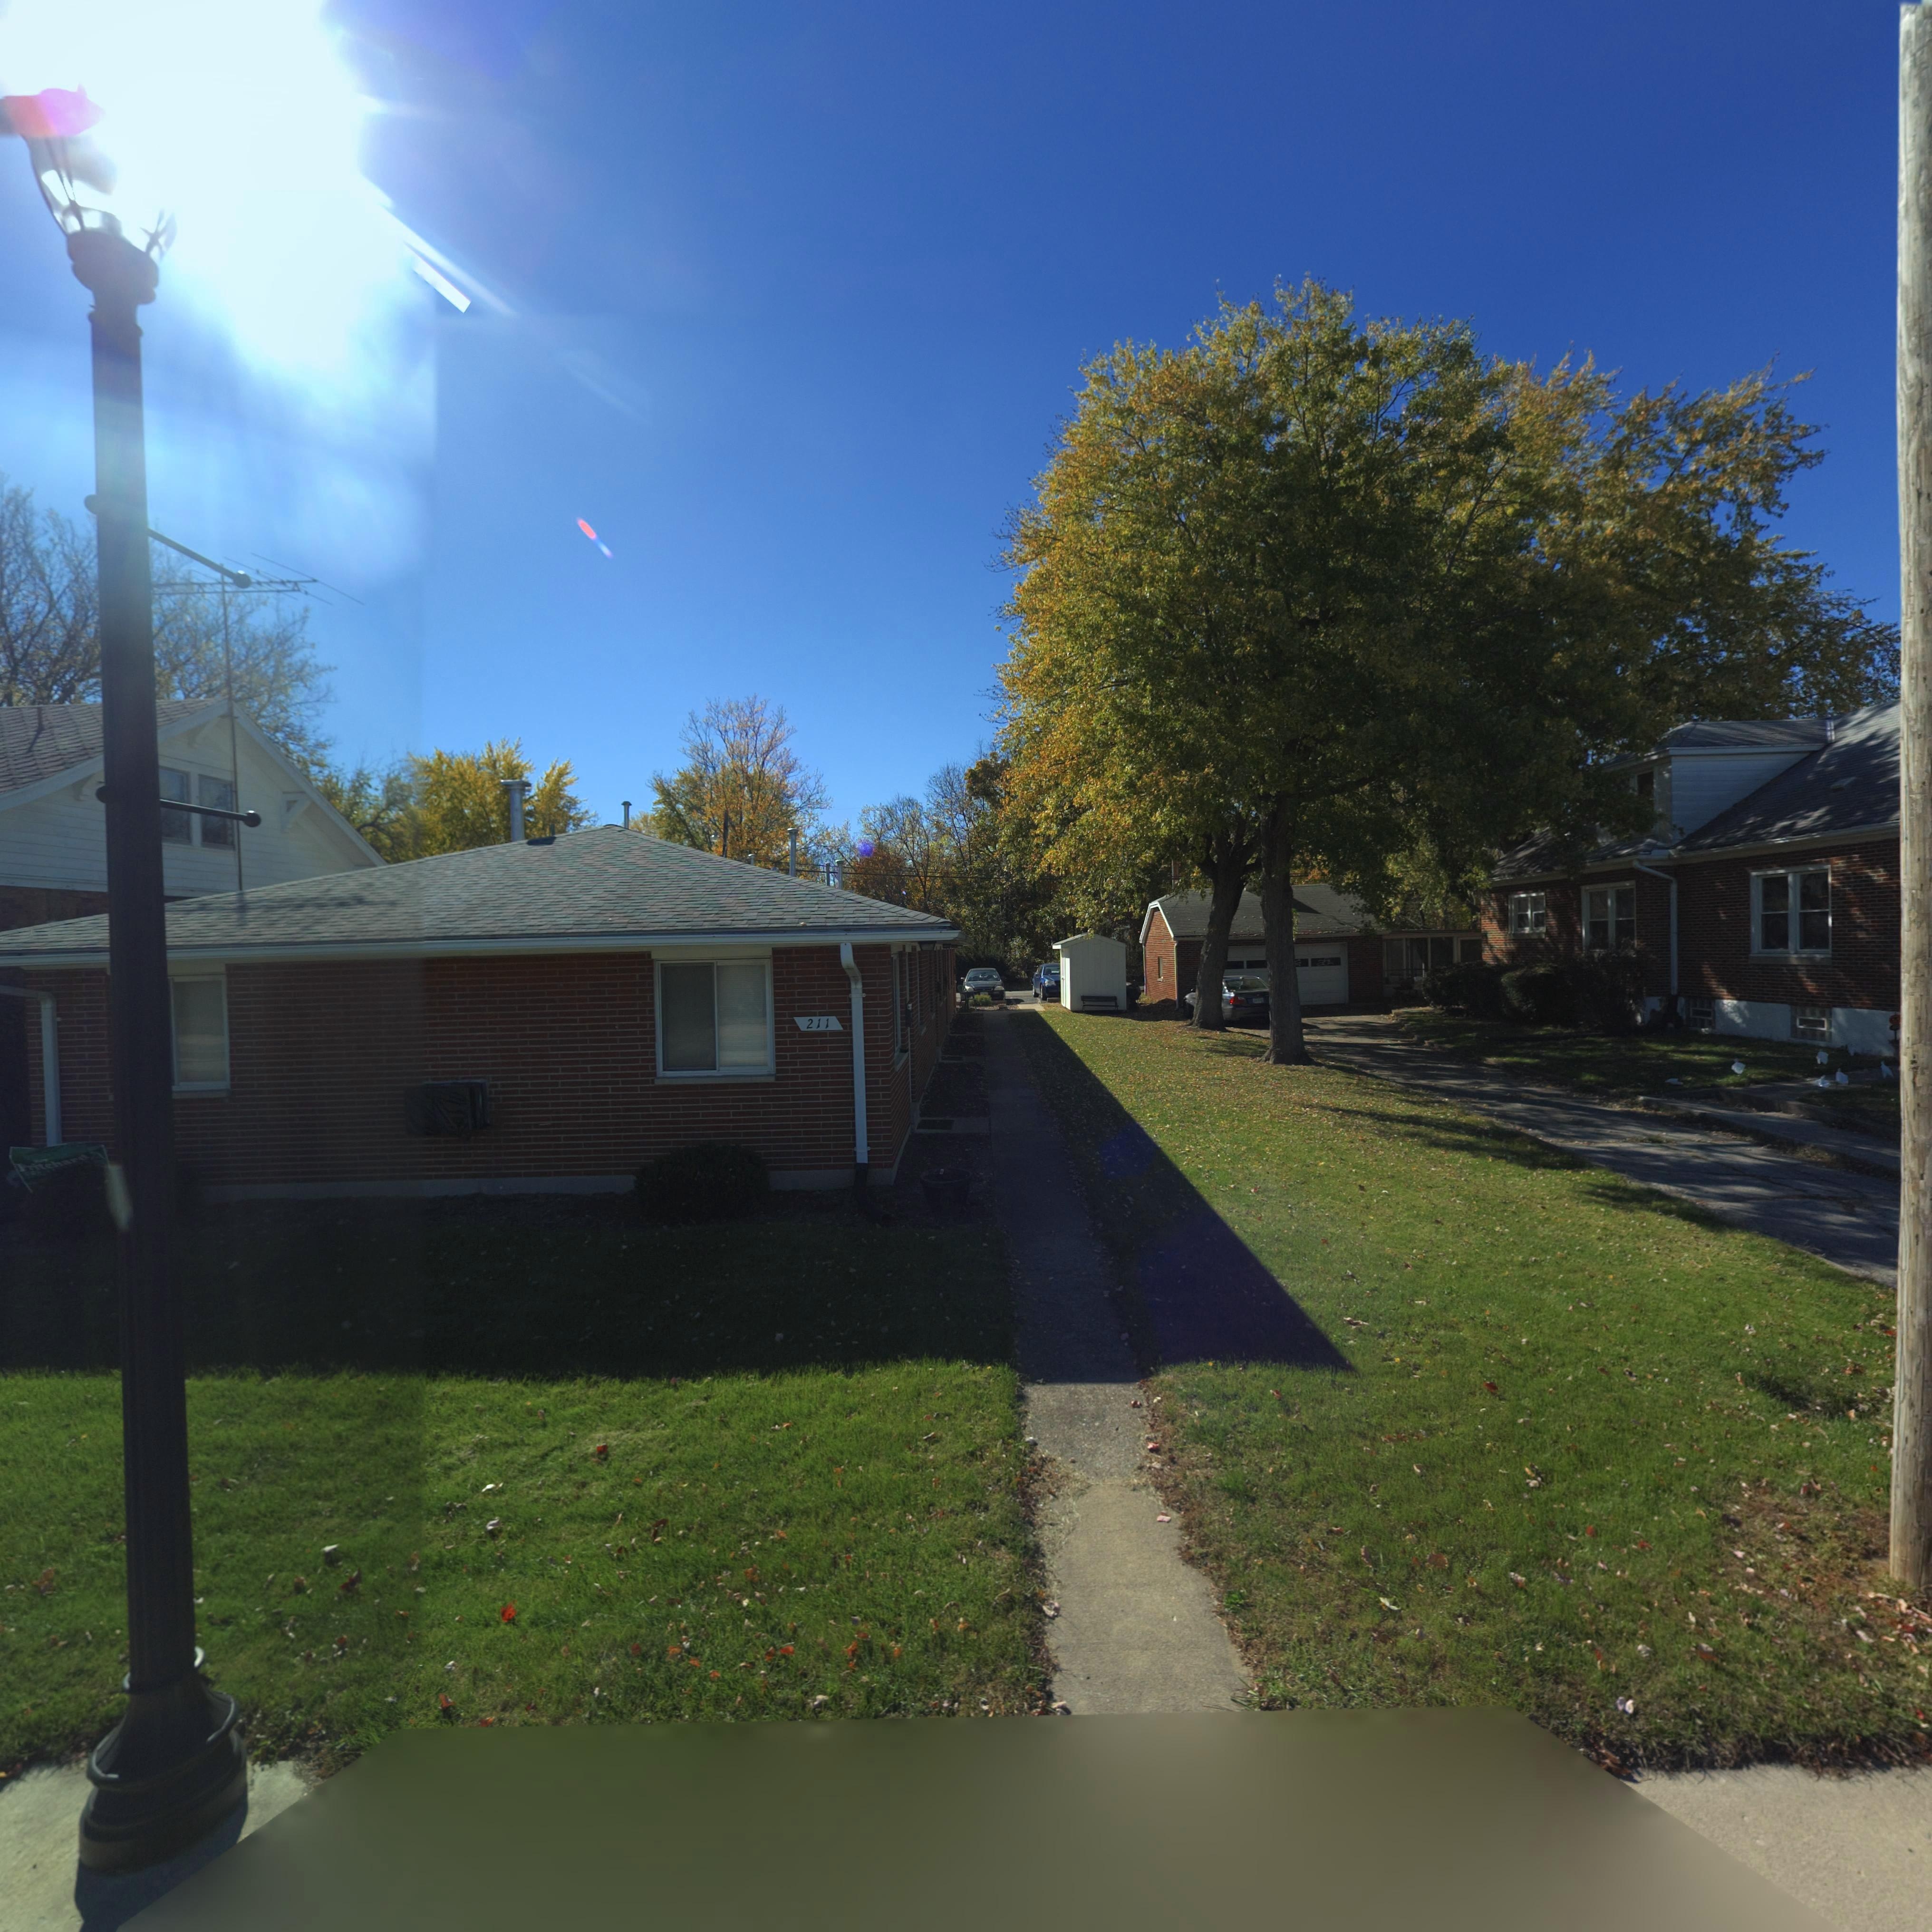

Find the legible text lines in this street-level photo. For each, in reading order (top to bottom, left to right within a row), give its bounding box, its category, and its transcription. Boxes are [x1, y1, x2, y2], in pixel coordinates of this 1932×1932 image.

[805, 1017, 830, 1031] StreetNumber: 211